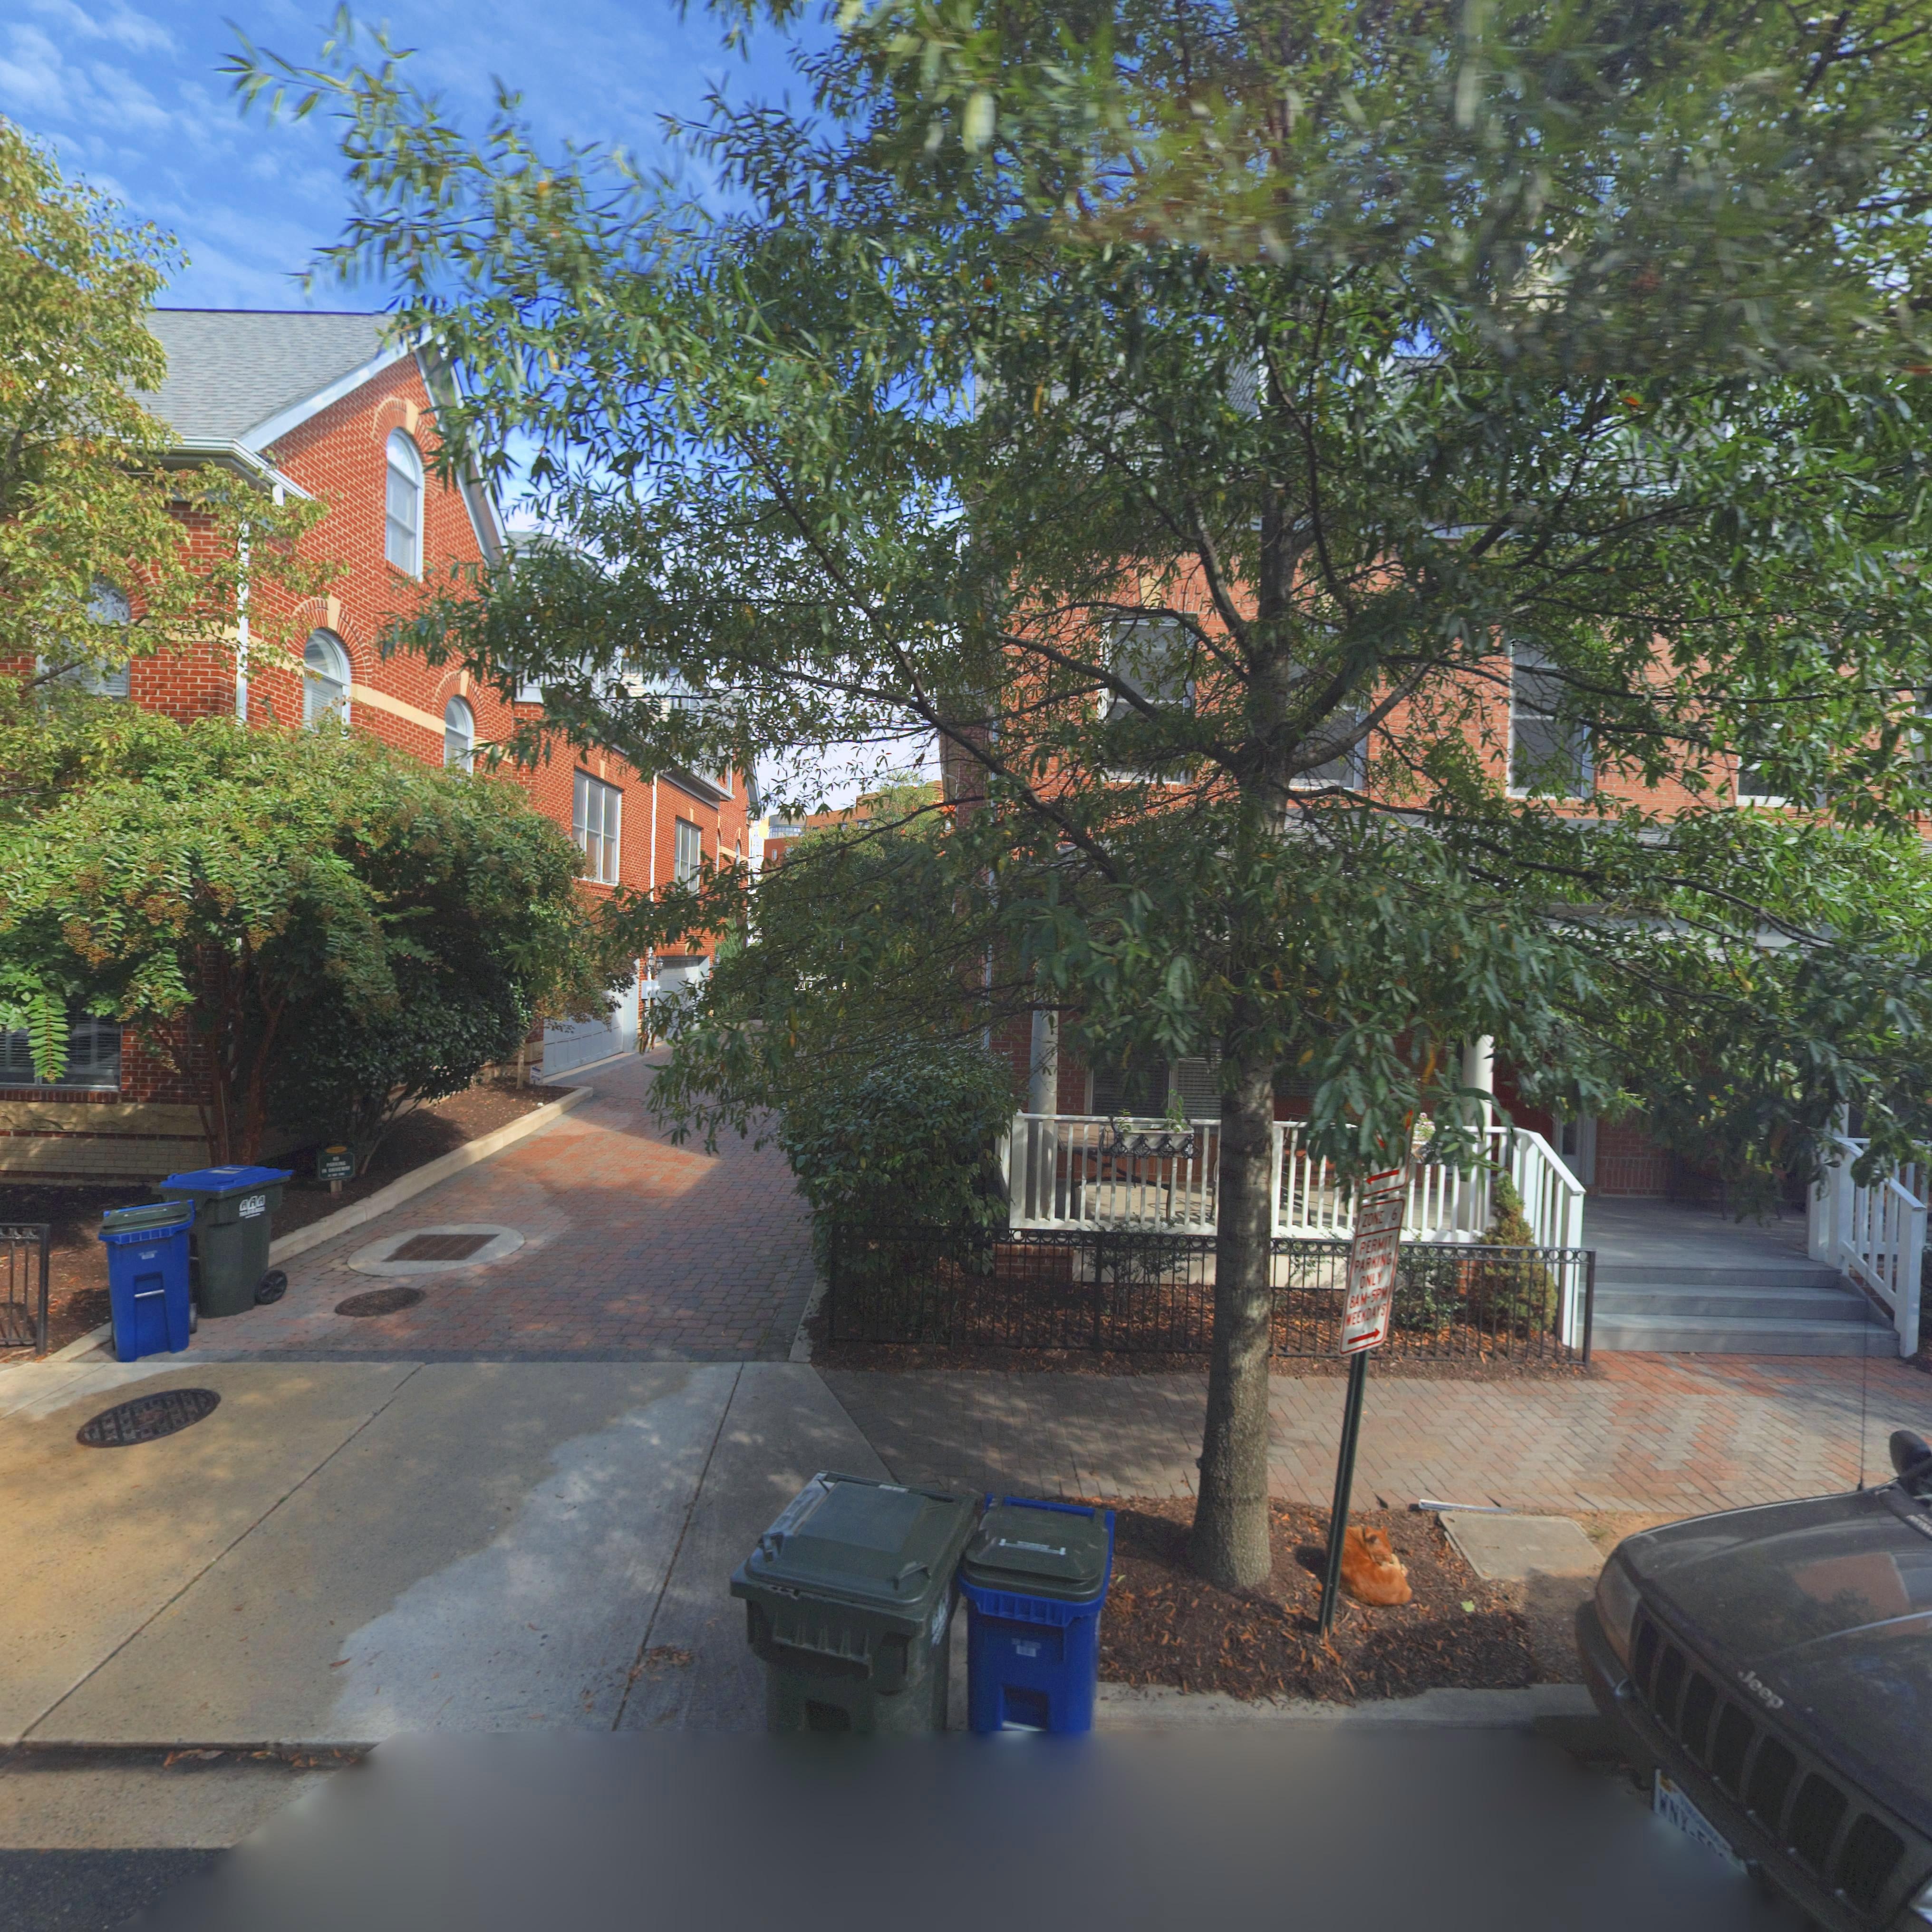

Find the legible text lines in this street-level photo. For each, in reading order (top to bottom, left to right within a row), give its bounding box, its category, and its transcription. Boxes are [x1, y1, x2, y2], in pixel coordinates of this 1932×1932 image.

[241, 1194, 264, 1210] None: AAA
[1360, 1205, 1399, 1229] None: ZON* 6
[1357, 1233, 1394, 1257] None: PERMIT
[1352, 1250, 1393, 1275] None: PARKING
[1358, 1268, 1384, 1290] None: ONLY
[1348, 1284, 1390, 1311] None: 8AM-5PM
[1344, 1301, 1387, 1329] None: *EEKDAYS